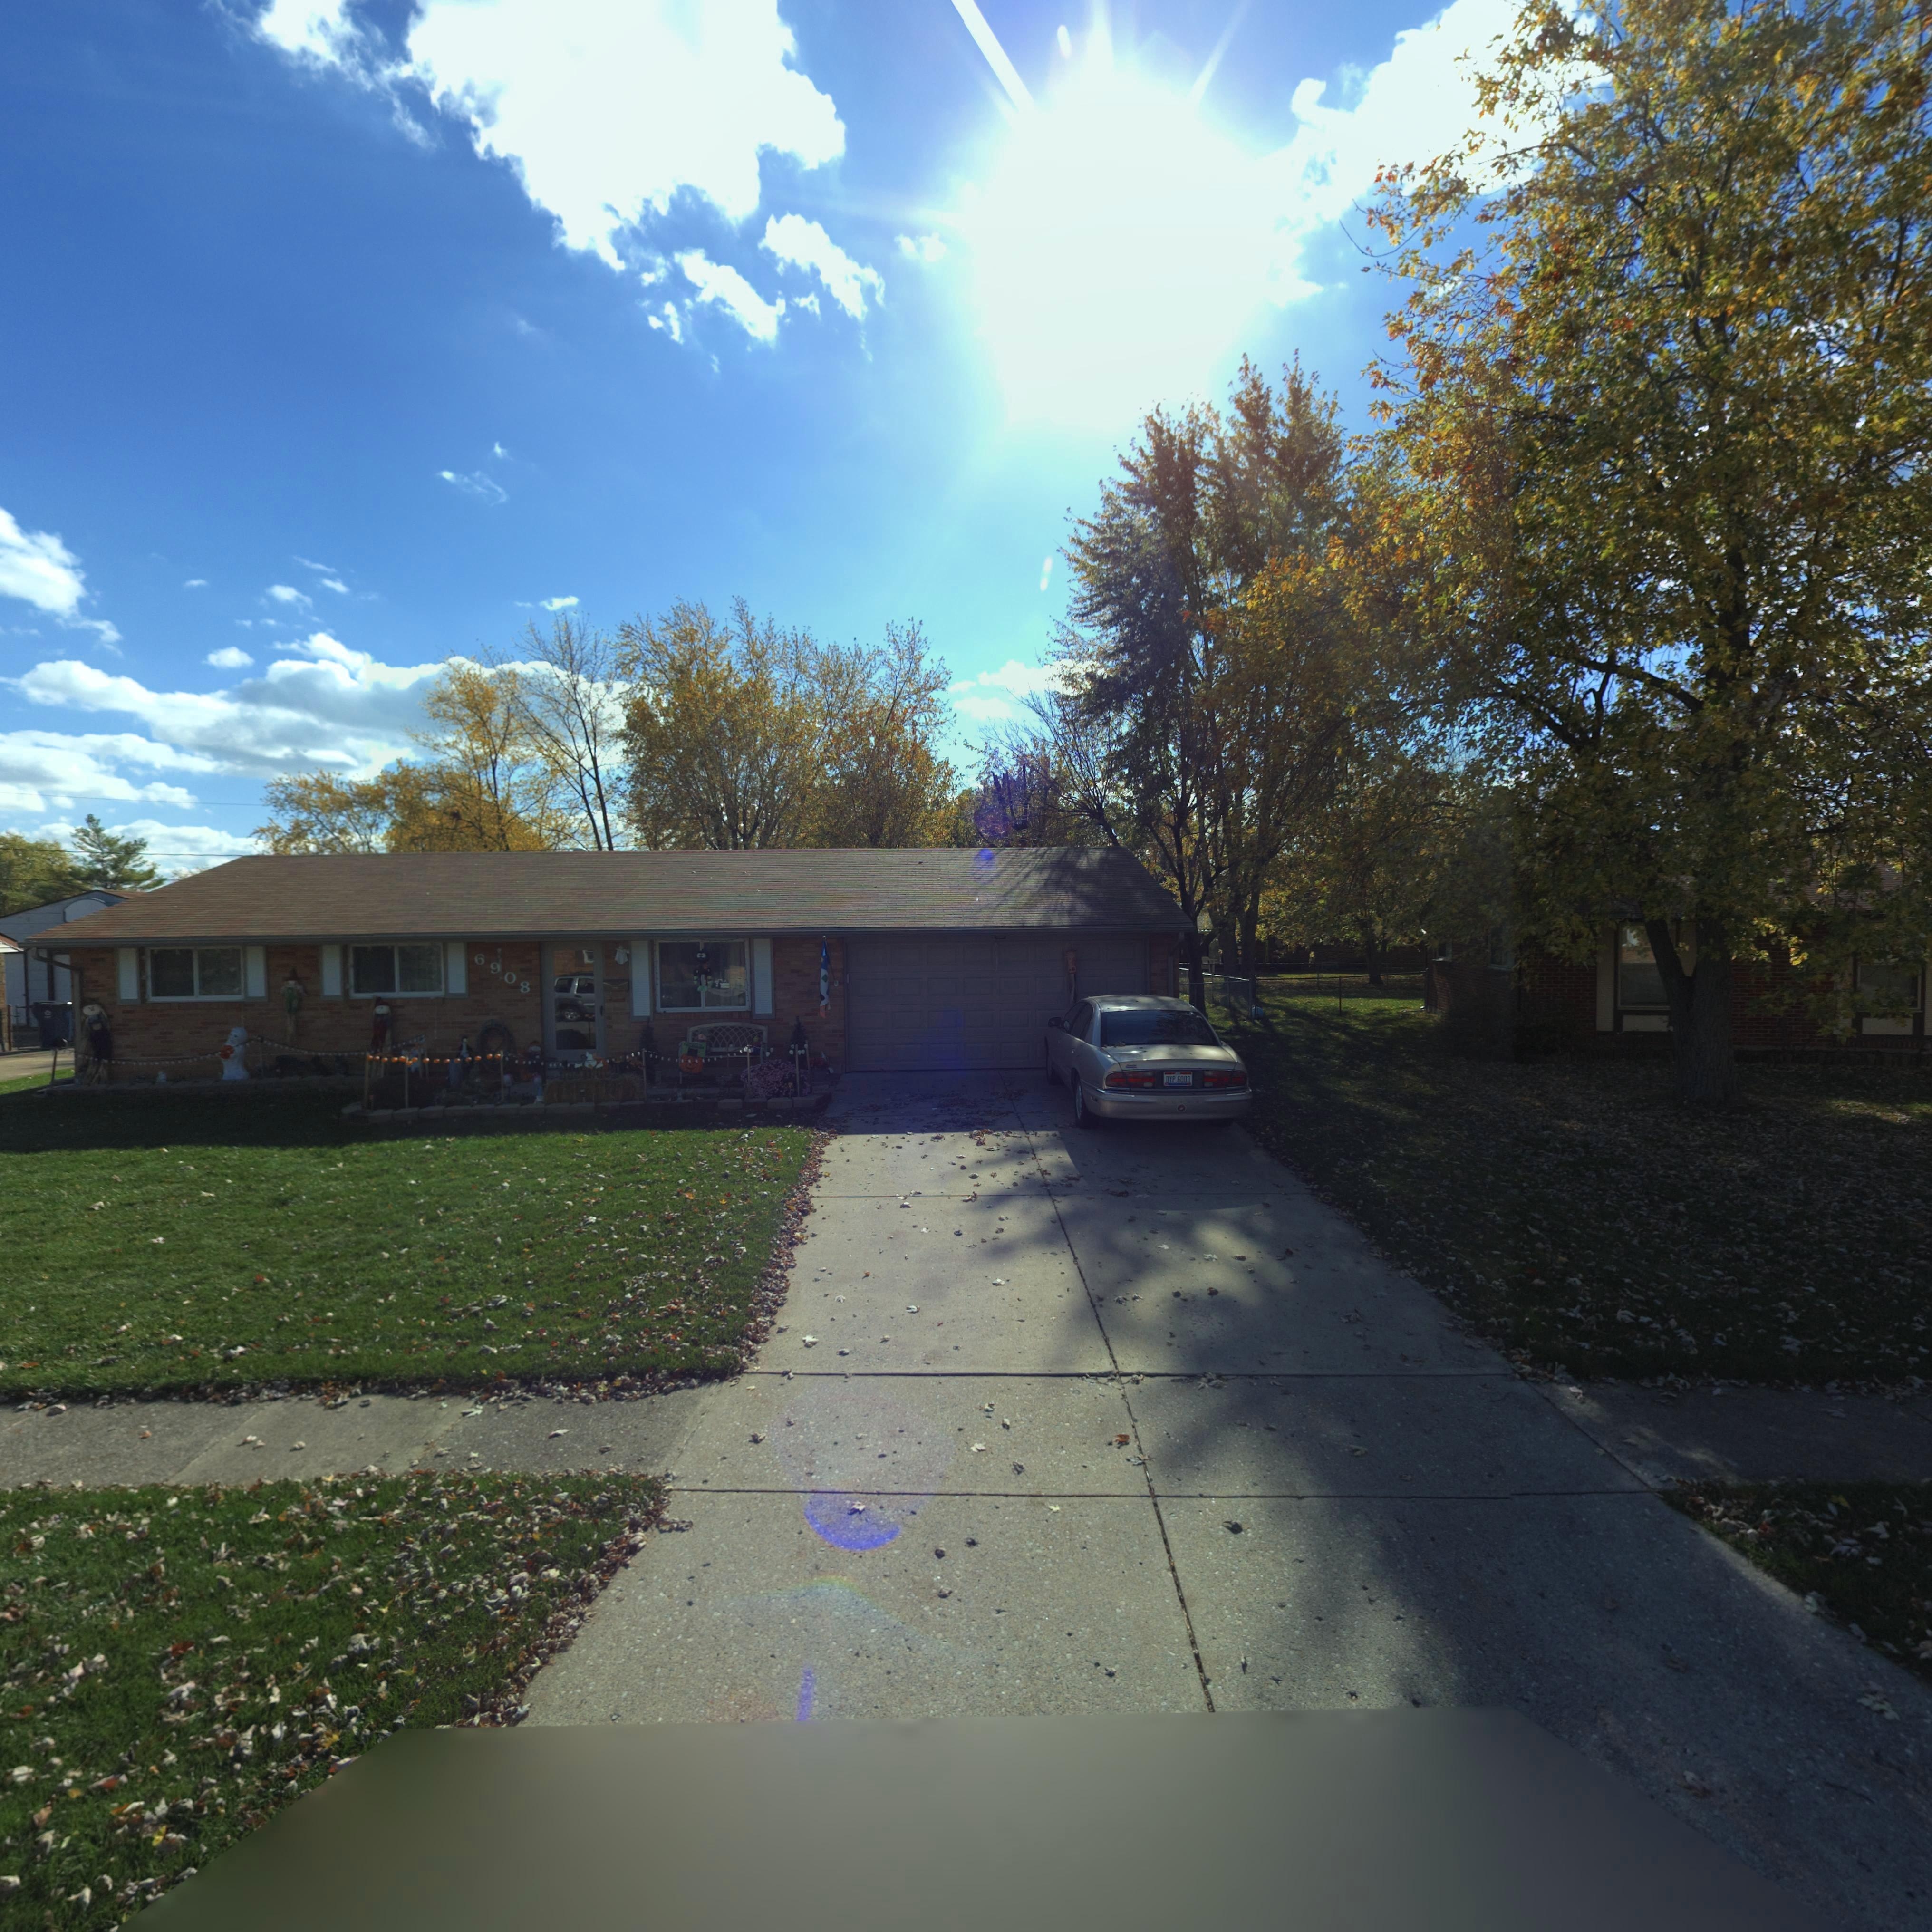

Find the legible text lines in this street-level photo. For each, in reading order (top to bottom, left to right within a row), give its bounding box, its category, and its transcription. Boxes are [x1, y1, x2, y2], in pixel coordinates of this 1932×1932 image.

[473, 952, 531, 994] StreetNumber: 6908